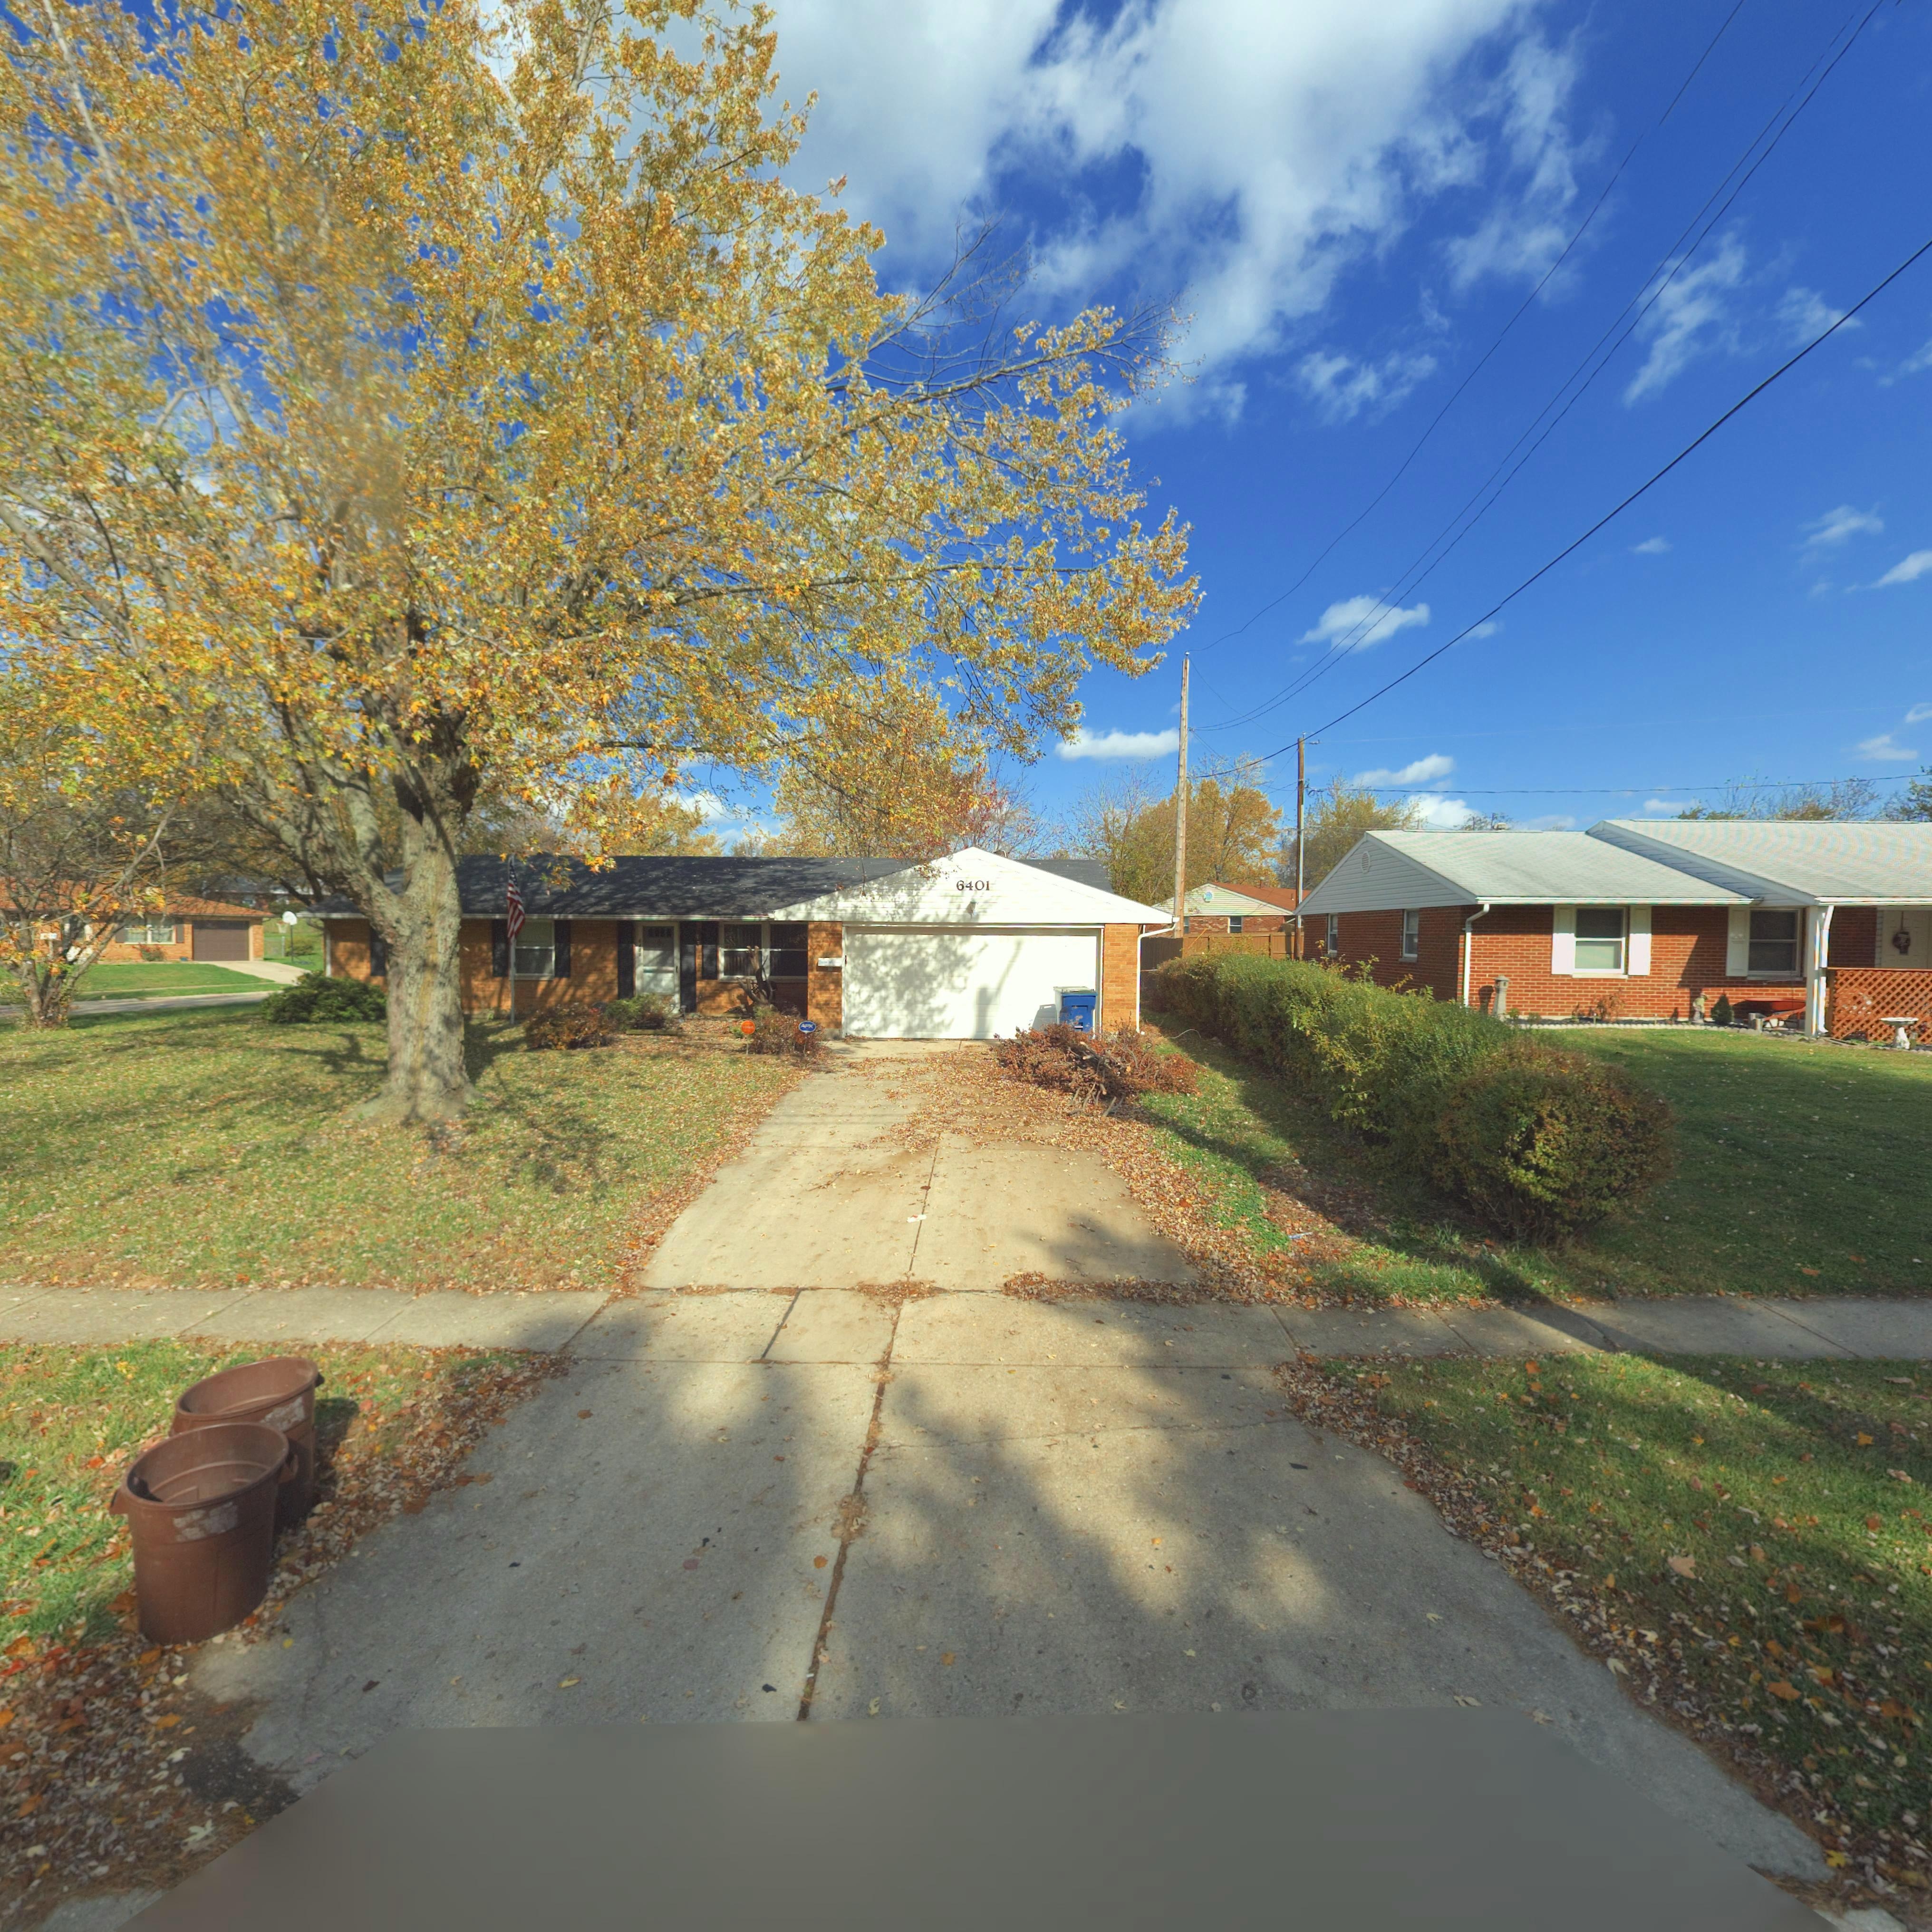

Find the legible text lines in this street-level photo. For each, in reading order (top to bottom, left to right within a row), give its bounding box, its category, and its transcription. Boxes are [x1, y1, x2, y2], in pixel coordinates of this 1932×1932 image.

[956, 879, 990, 891] StreetNumber: 6401
[638, 938, 641, 957] StreetNumber: 6401